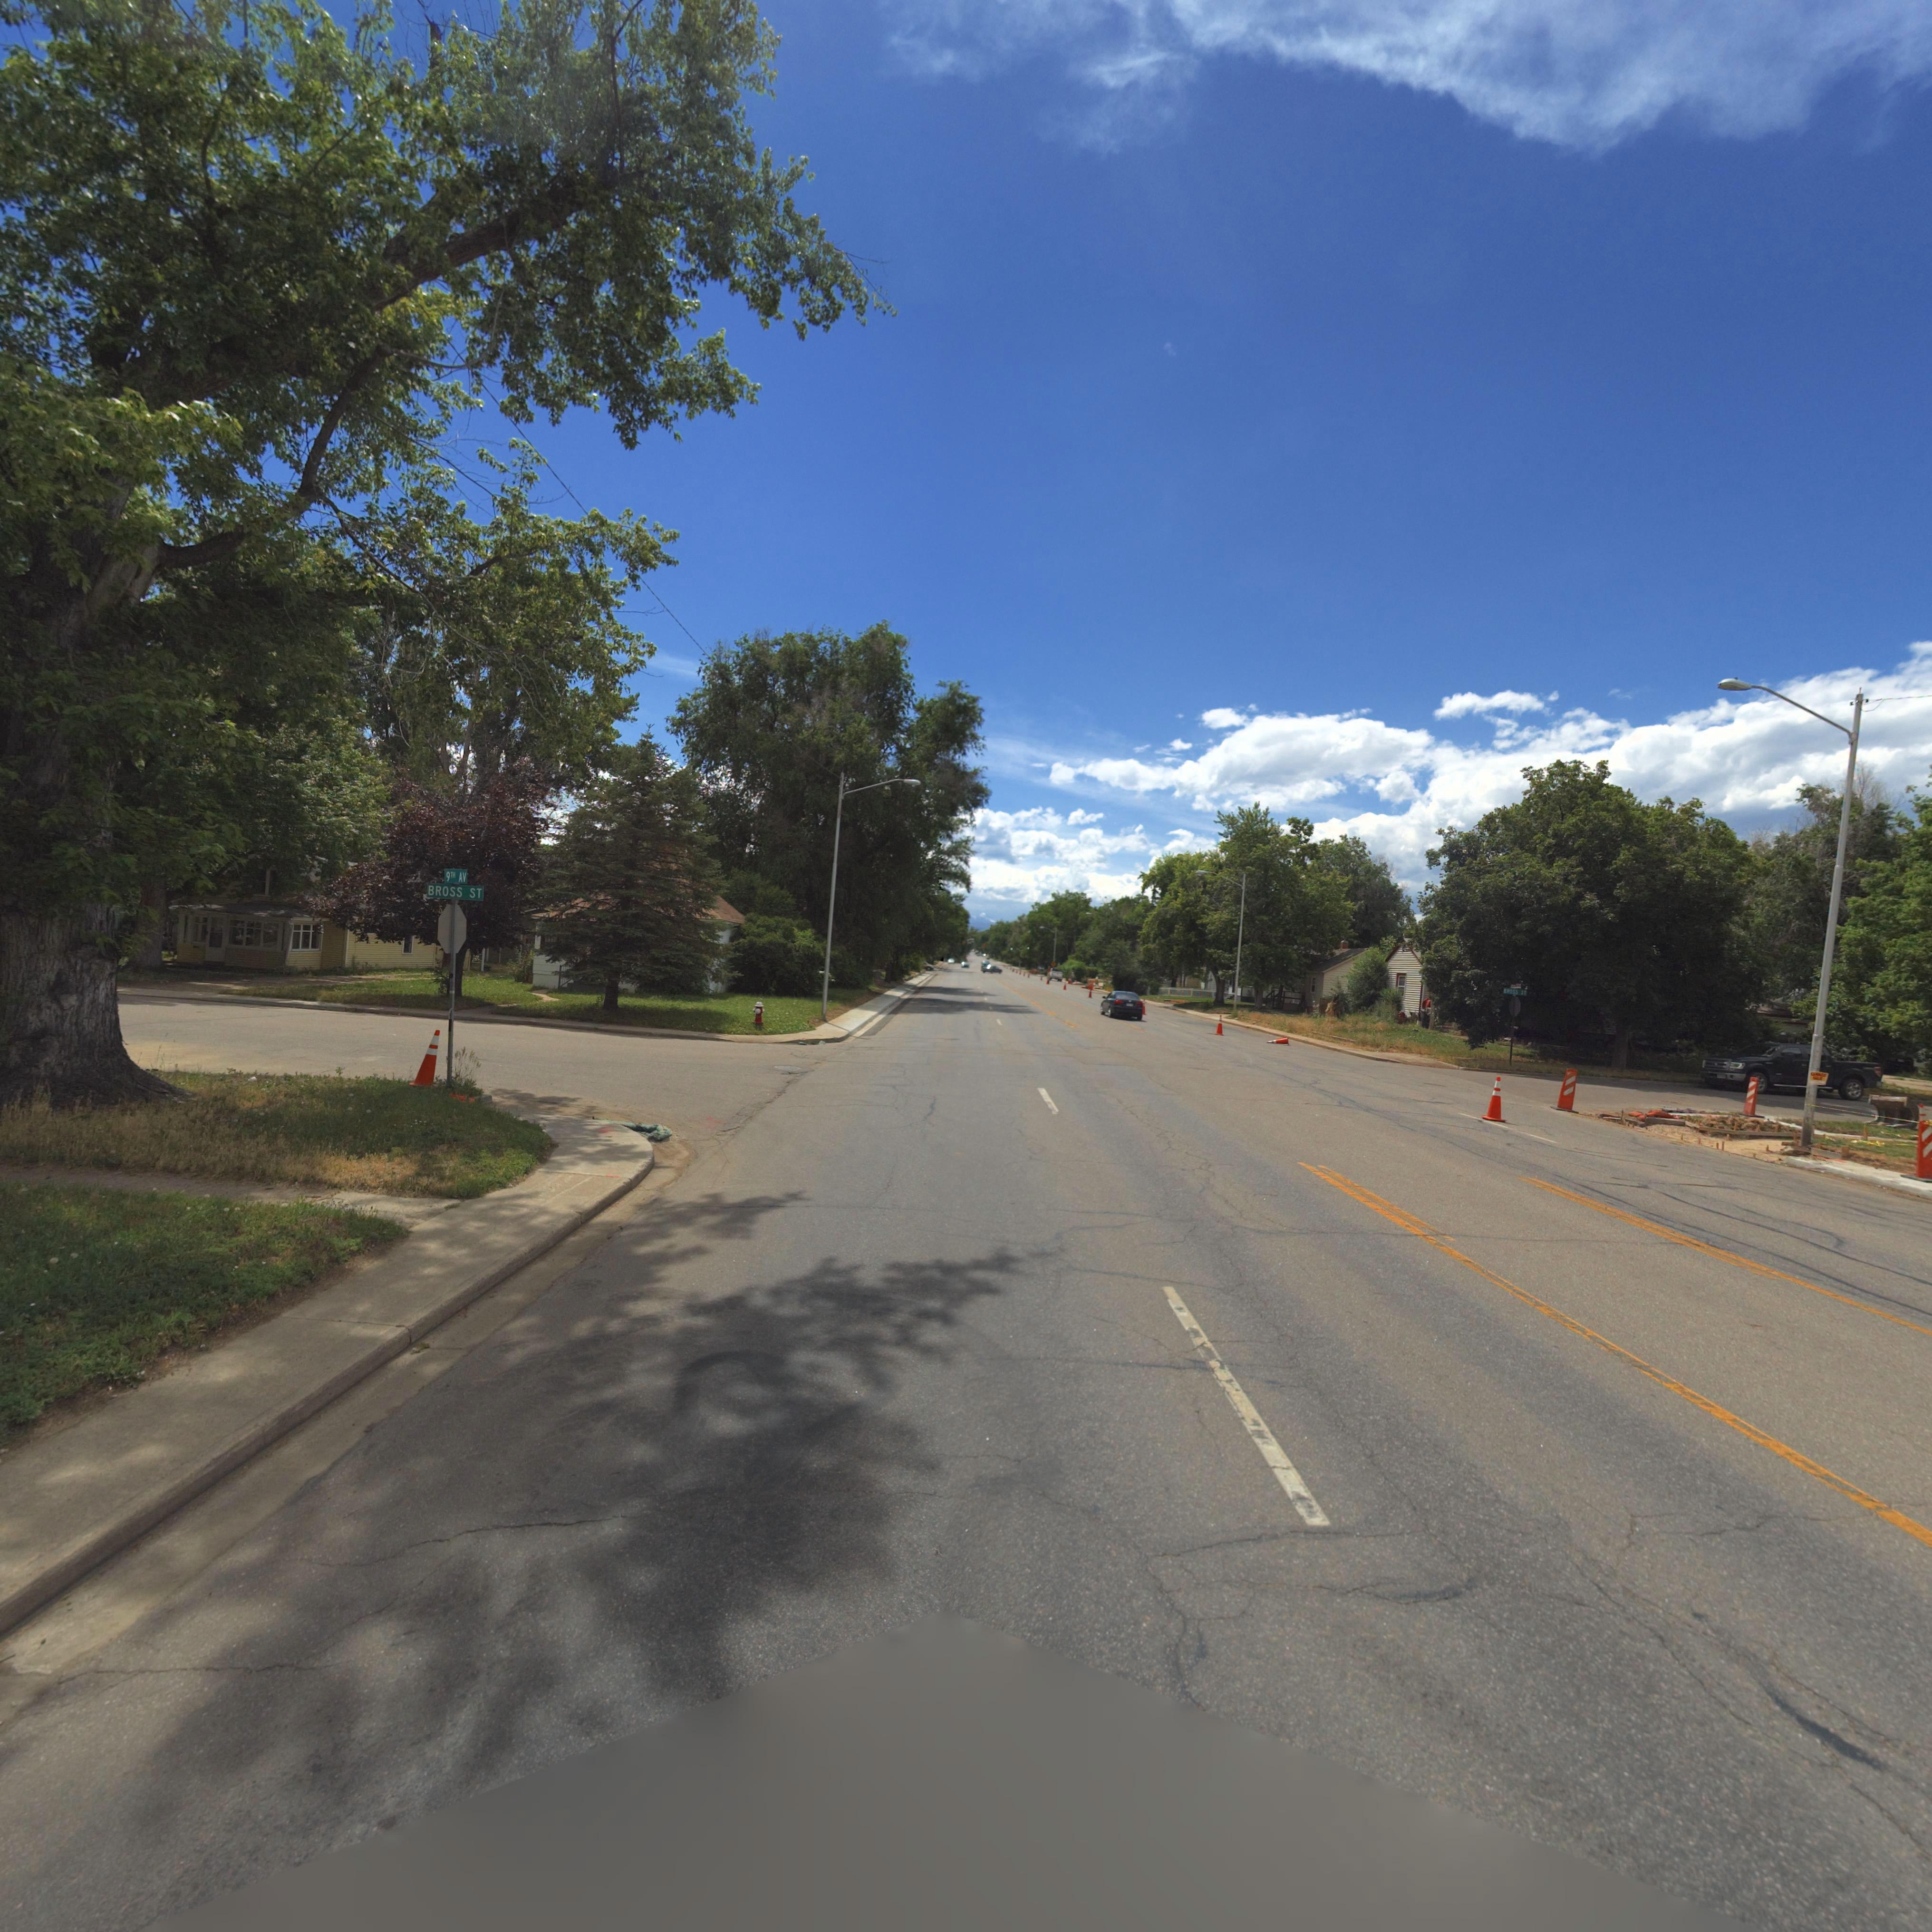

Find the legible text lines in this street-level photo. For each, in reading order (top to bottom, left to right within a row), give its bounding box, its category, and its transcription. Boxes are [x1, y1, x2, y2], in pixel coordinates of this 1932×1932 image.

[445, 870, 467, 882] StreetName: 9TH AV
[427, 885, 483, 899] StreetName: BROSS ST
[1503, 988, 1526, 995] StreetName: BROSS ST